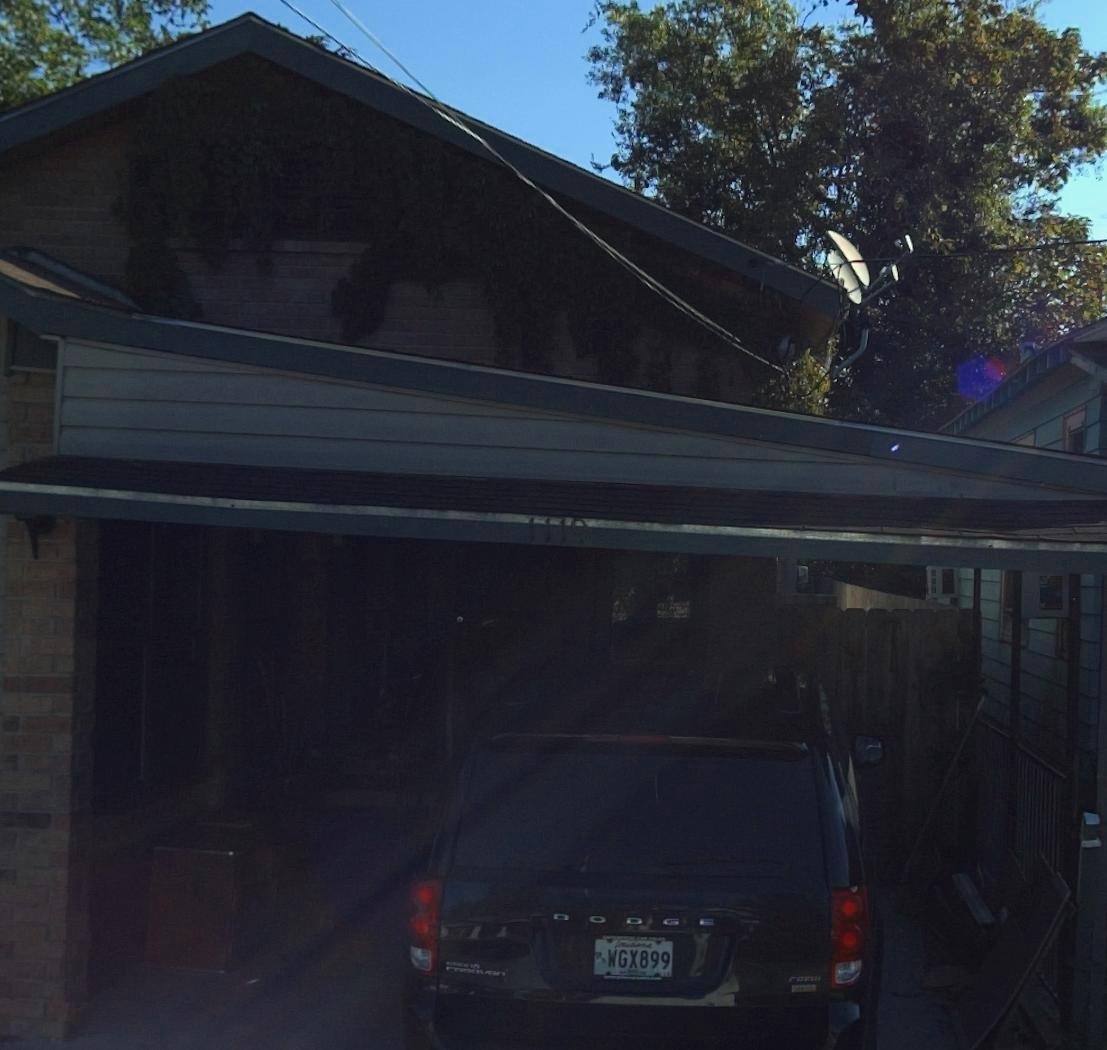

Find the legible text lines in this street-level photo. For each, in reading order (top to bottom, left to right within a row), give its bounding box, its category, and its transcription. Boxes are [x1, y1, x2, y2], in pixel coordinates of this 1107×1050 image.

[523, 514, 592, 544] StreetNumber: 1119
[551, 908, 717, 931] None: DODGE
[605, 946, 674, 974] None: WGX899